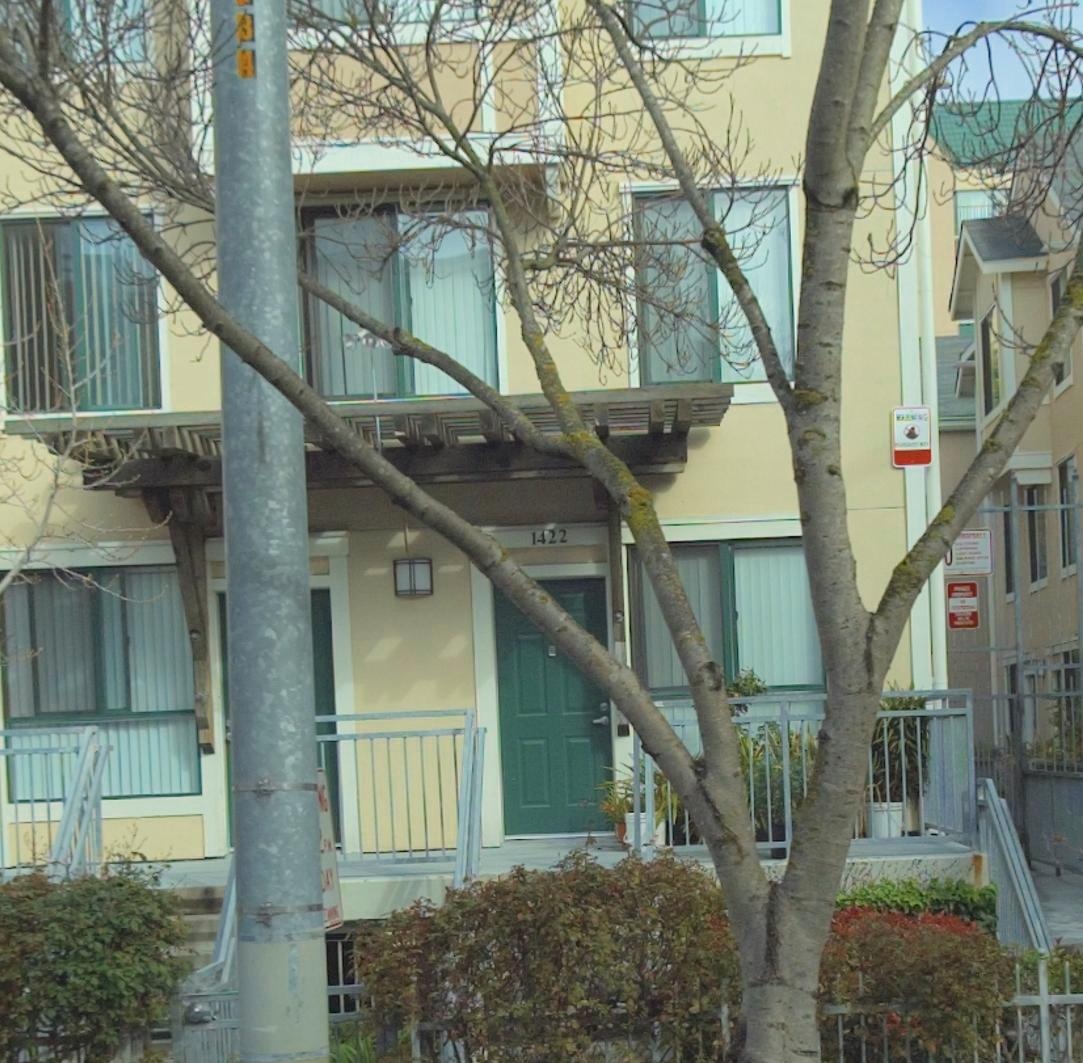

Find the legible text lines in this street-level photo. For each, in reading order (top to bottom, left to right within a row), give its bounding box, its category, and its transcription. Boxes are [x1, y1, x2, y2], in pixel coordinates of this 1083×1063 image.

[529, 526, 570, 548] StreetNumber: 1422